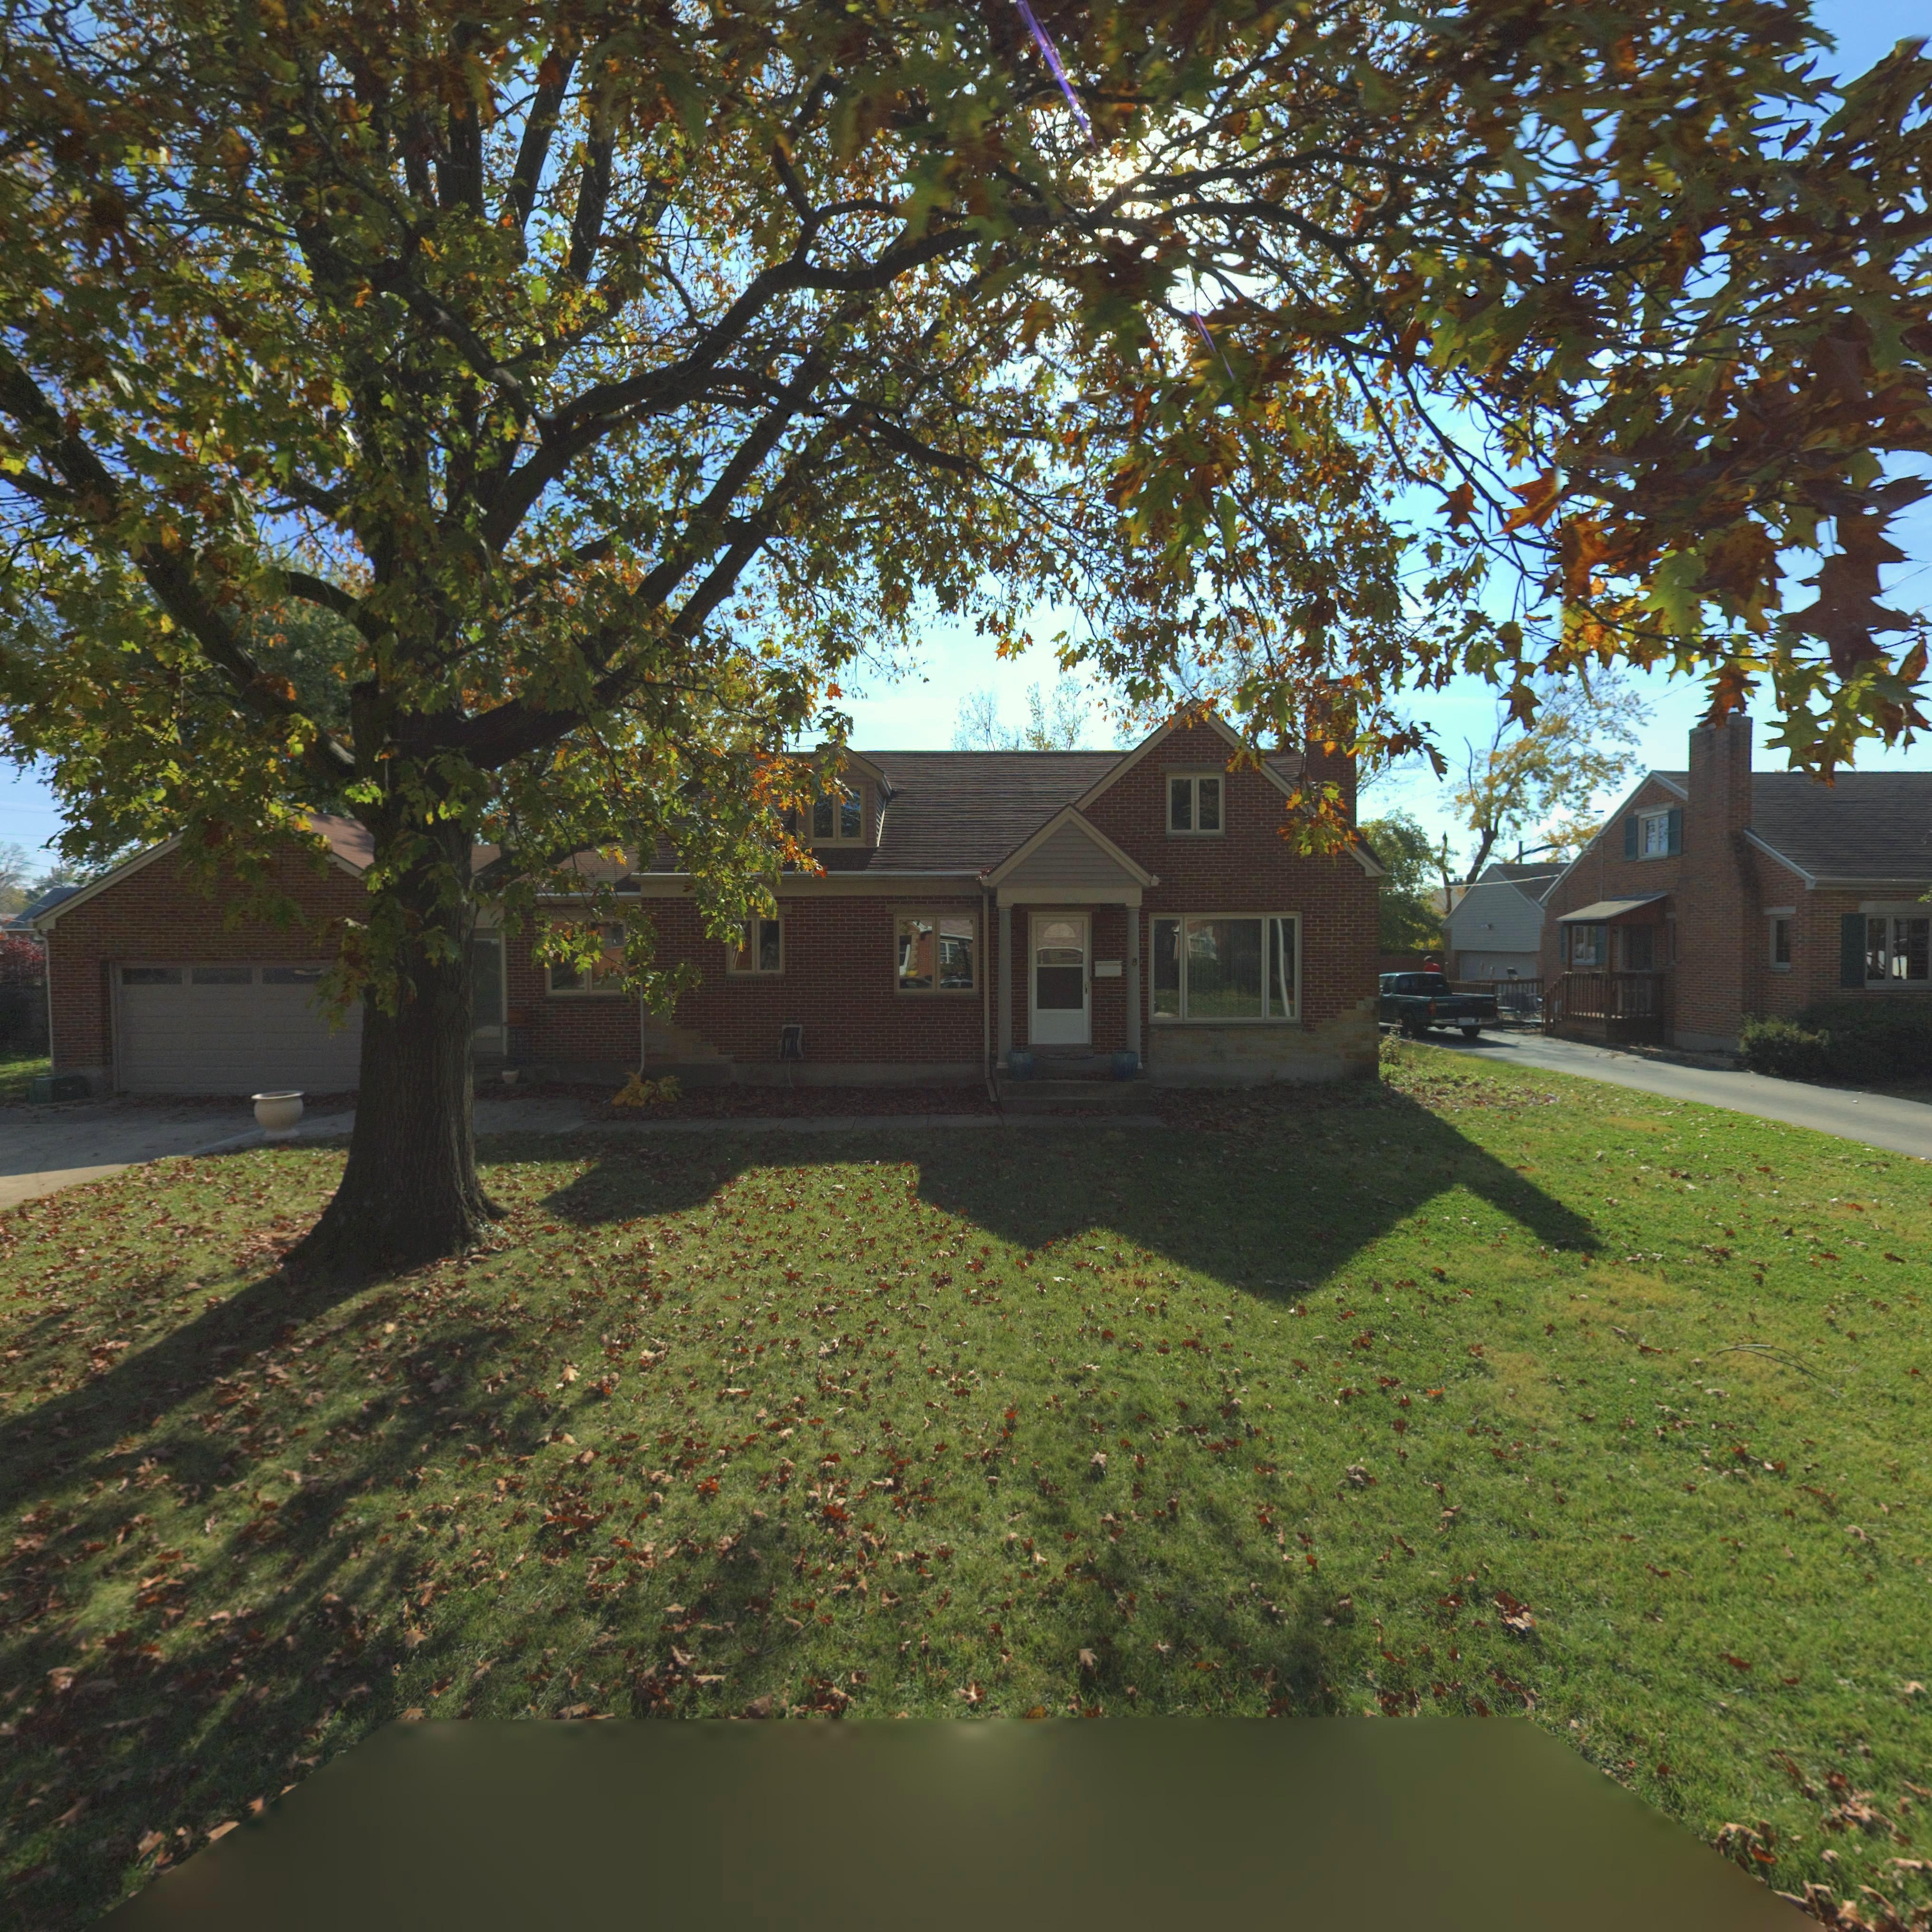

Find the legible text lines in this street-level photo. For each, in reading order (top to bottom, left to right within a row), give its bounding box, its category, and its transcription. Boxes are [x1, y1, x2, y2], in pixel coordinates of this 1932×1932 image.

[1132, 958, 1138, 966] StreetNumber: 8